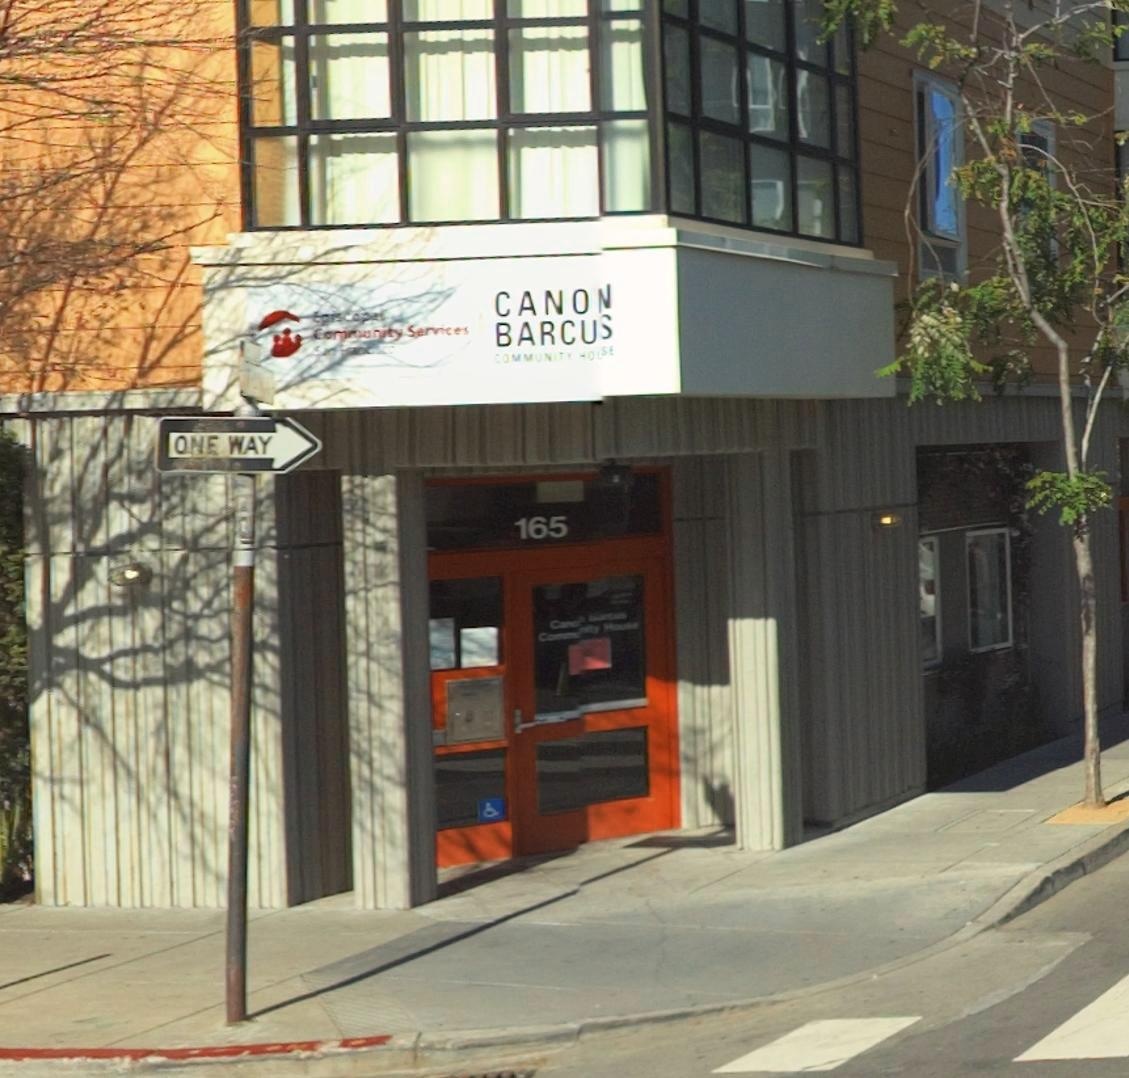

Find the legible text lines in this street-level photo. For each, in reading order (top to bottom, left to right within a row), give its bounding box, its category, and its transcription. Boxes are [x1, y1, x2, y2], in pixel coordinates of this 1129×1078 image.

[494, 282, 616, 322] BusinessName: CANON
[405, 323, 473, 339] None: Services
[494, 312, 619, 350] BusinessName: BARCU*
[492, 344, 619, 366] BusinessName: COMMUNITY HO*SE
[173, 432, 277, 457] None: ONE WAY
[513, 514, 571, 541] StreetNumber: 165